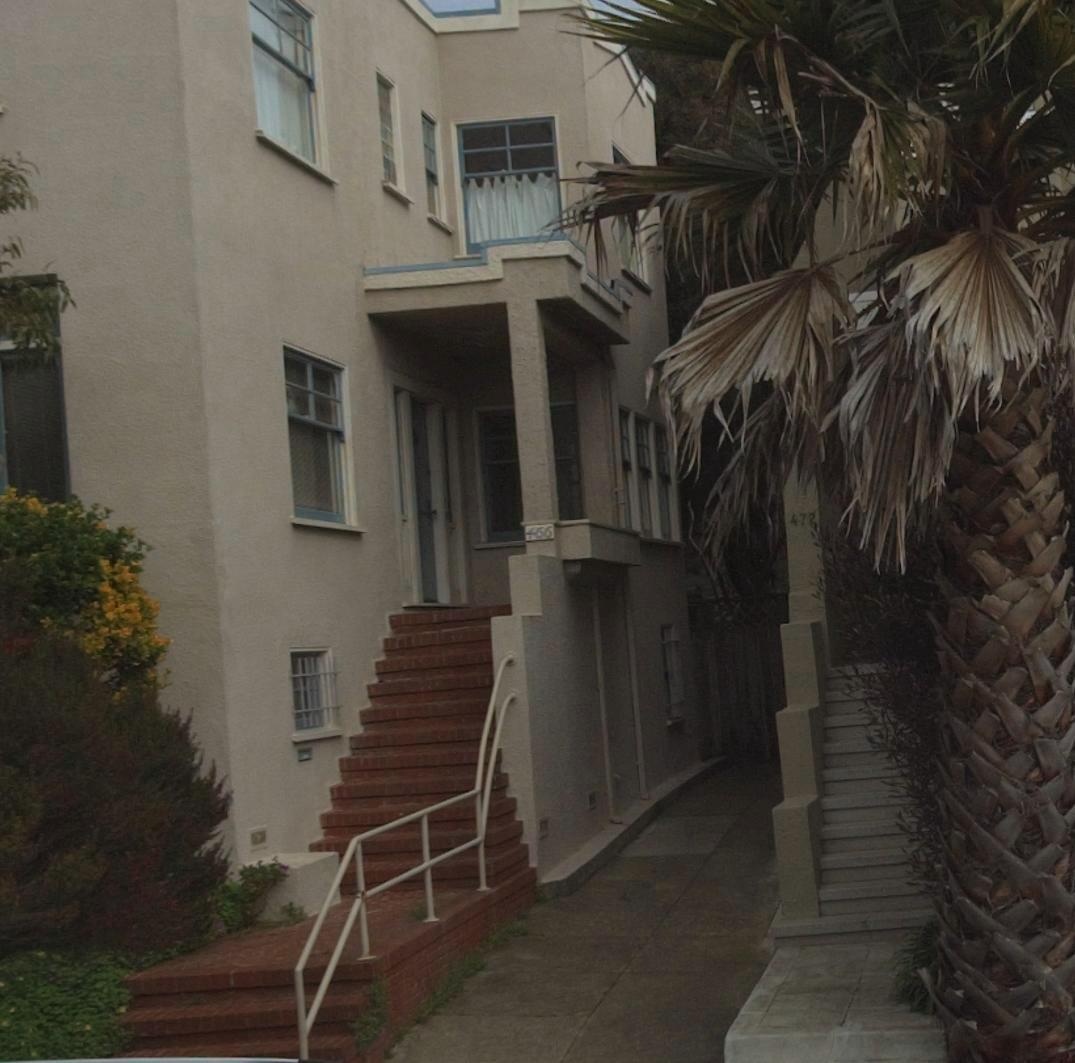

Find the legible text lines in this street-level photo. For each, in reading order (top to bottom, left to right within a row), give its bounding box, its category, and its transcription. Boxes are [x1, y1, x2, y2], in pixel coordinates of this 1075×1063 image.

[788, 512, 818, 528] None: 472
[525, 525, 554, 540] StreetNumber: 466